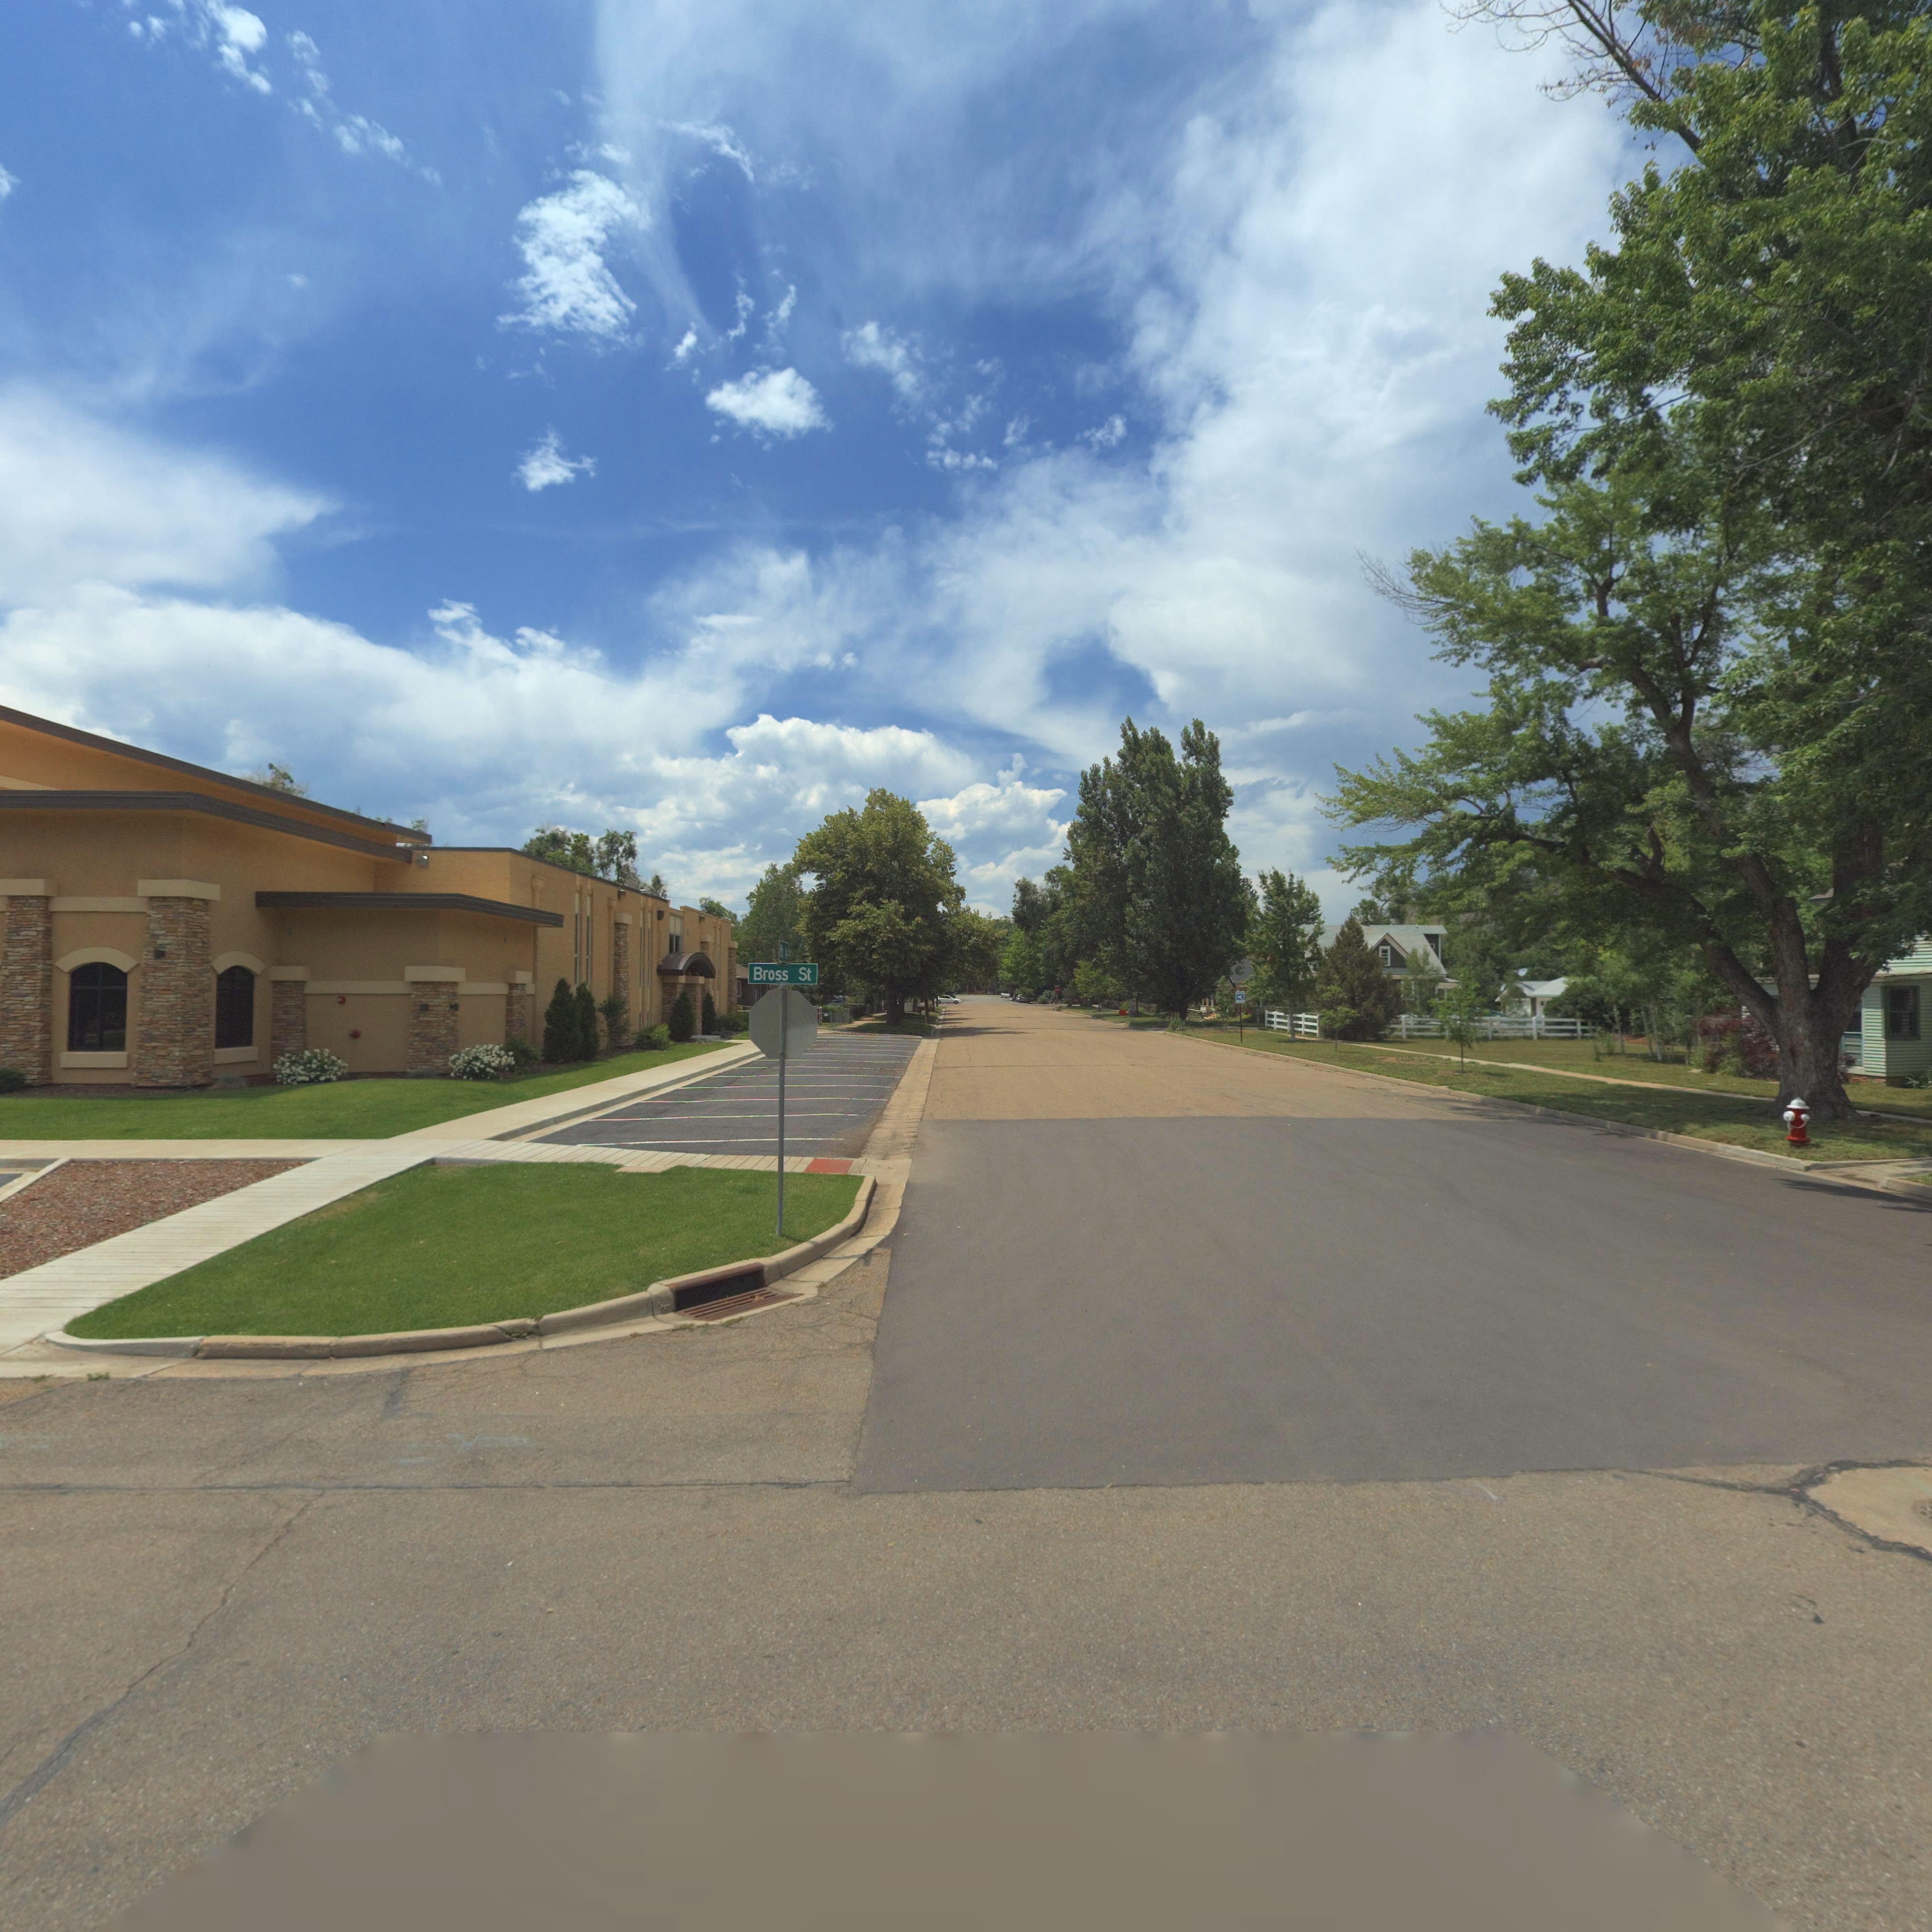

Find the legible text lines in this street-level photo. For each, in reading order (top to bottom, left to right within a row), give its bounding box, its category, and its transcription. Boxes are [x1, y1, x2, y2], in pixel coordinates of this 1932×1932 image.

[779, 943, 788, 959] StreetName: 8*h A*
[754, 967, 811, 981] StreetName: Bross St